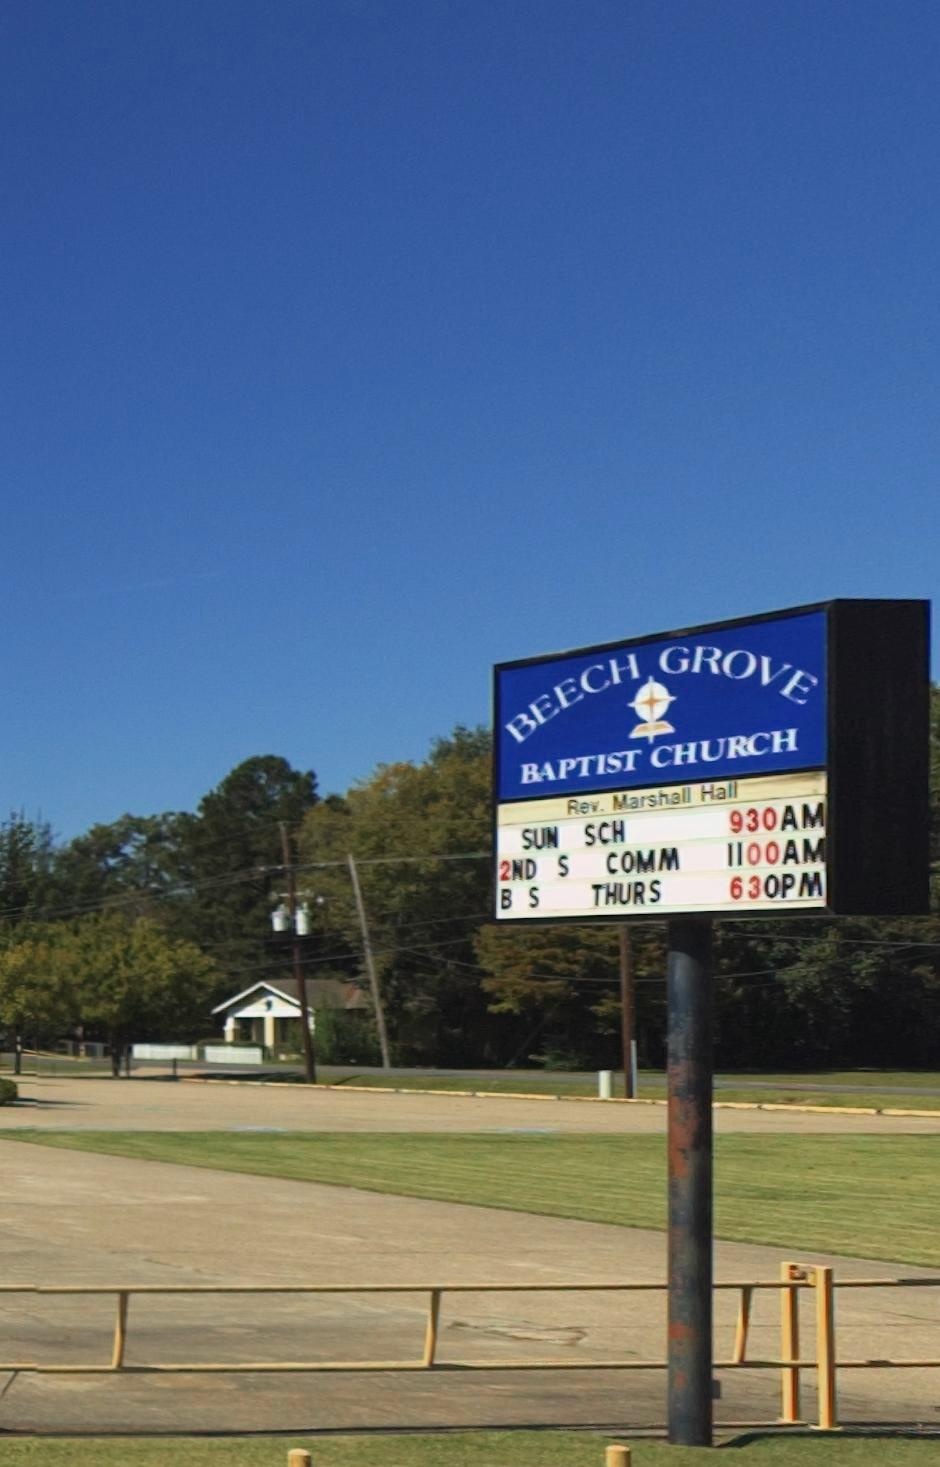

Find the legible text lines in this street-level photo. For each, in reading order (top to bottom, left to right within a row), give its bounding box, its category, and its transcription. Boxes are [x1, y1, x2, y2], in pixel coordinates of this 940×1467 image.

[499, 643, 826, 747] BusinessName: BEECH GROVE
[518, 725, 802, 787] BusinessName: BAPTIST CHURCH
[566, 778, 741, 816] None: Rev. Marshall Hall
[521, 799, 826, 853] None: SUN SCH 930AM
[498, 836, 828, 885] None: 2ND S COMM 1100AM
[498, 870, 825, 911] None: B S THURS 630PM